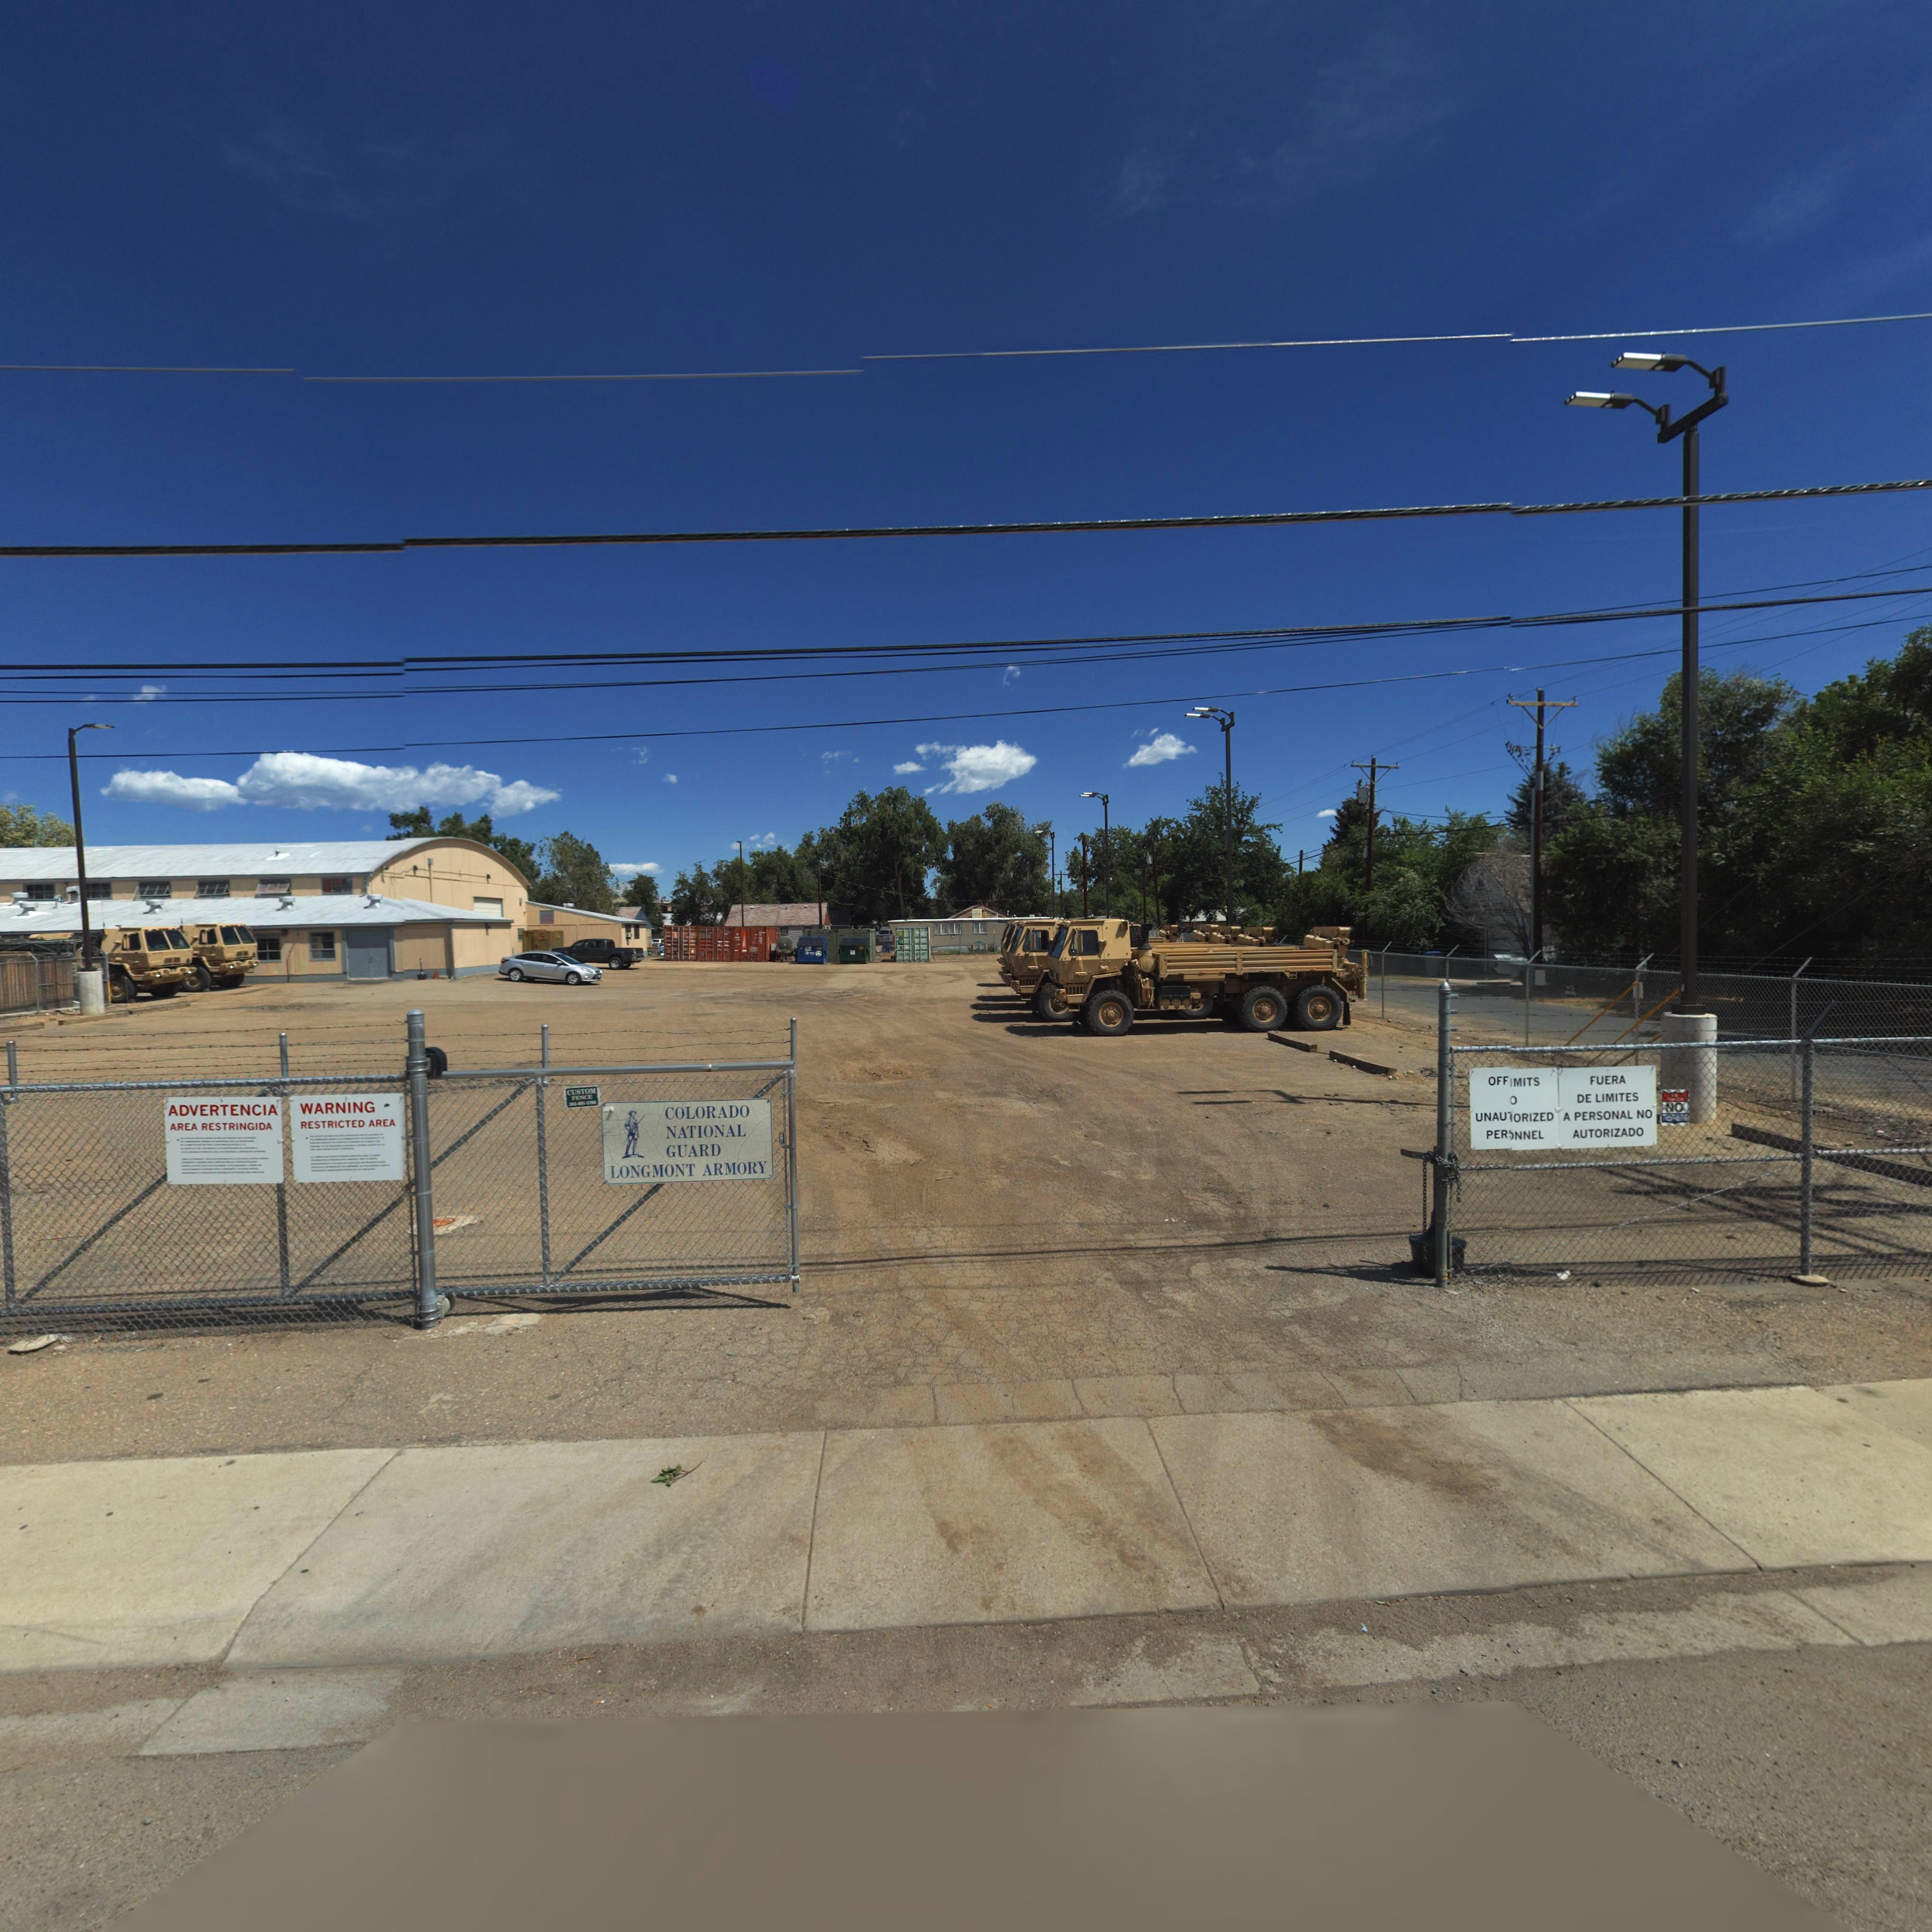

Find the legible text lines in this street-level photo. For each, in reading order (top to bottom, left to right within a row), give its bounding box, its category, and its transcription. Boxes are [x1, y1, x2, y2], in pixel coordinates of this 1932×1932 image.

[664, 1104, 751, 1120] BusinessName: COLORADO
[665, 1124, 747, 1139] BusinessName: NATIONAL
[666, 1143, 721, 1158] BusinessName: GUARD
[609, 1160, 767, 1179] BusinessName: LONGMONT ARMORY